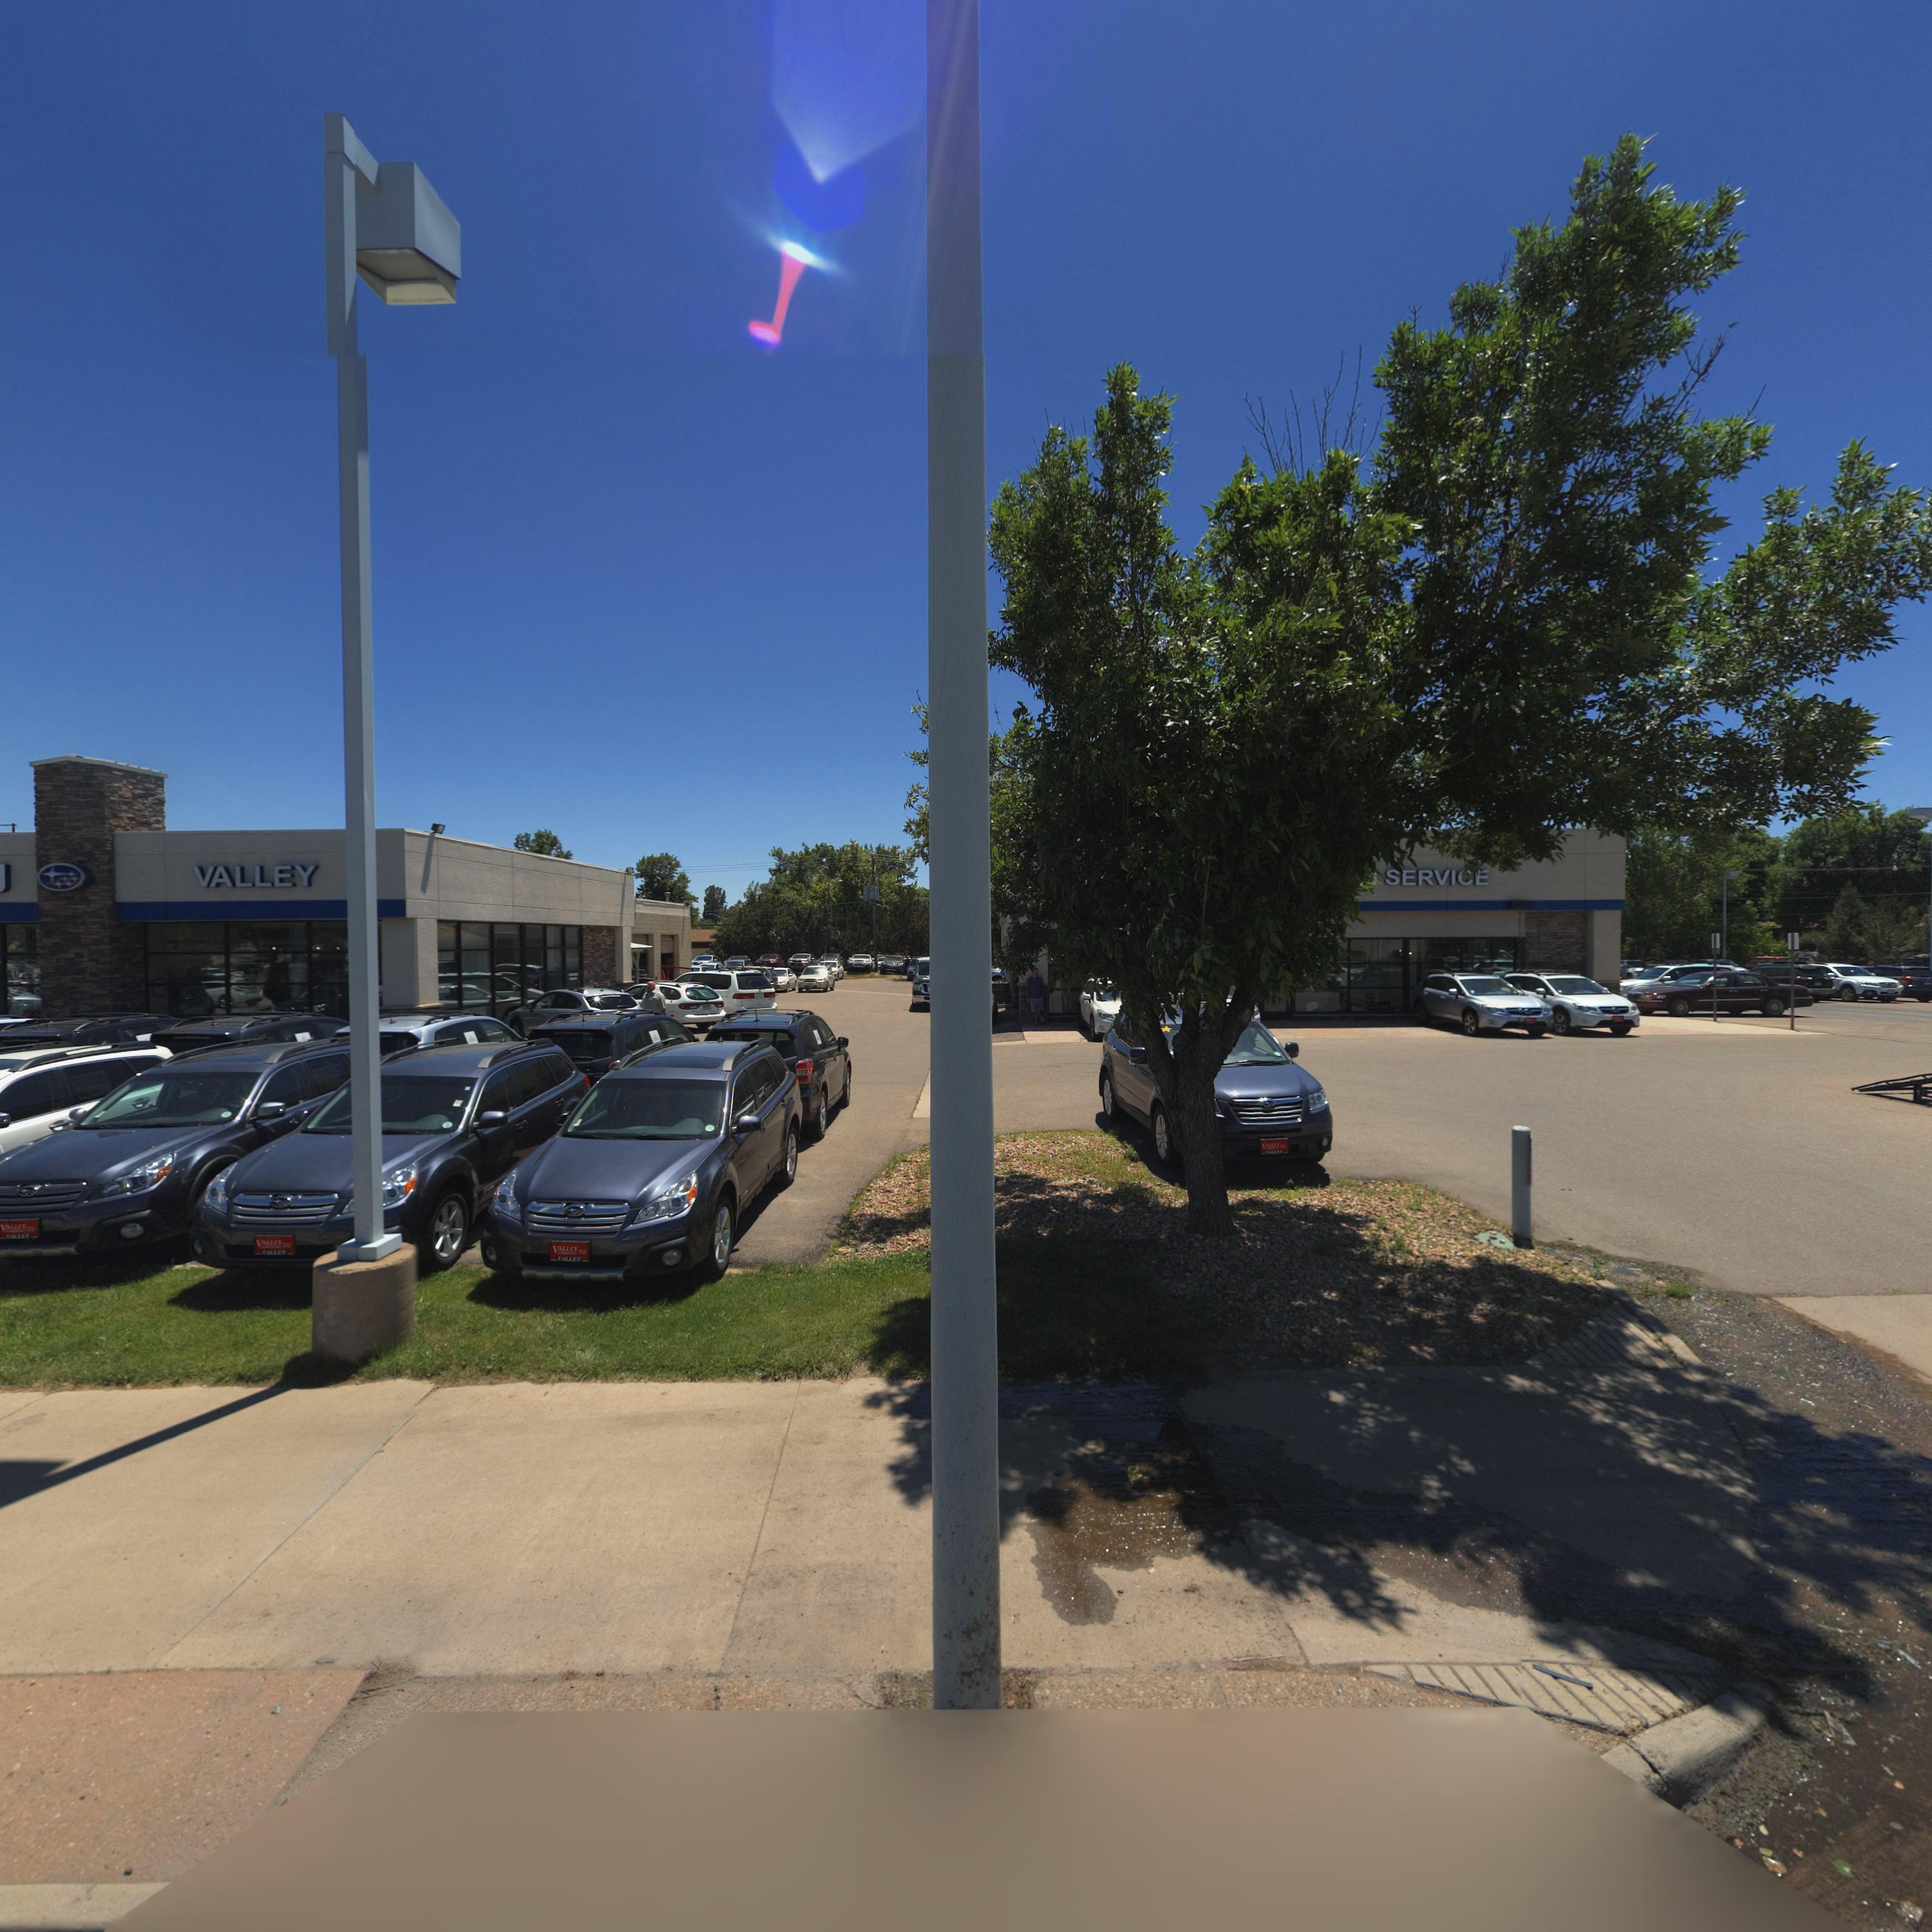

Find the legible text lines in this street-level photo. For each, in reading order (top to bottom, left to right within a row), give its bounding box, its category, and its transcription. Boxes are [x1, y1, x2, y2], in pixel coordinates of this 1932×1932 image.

[190, 864, 320, 889] BusinessName: VALLEY
[1384, 869, 1489, 886] BusinessName: SERVICE